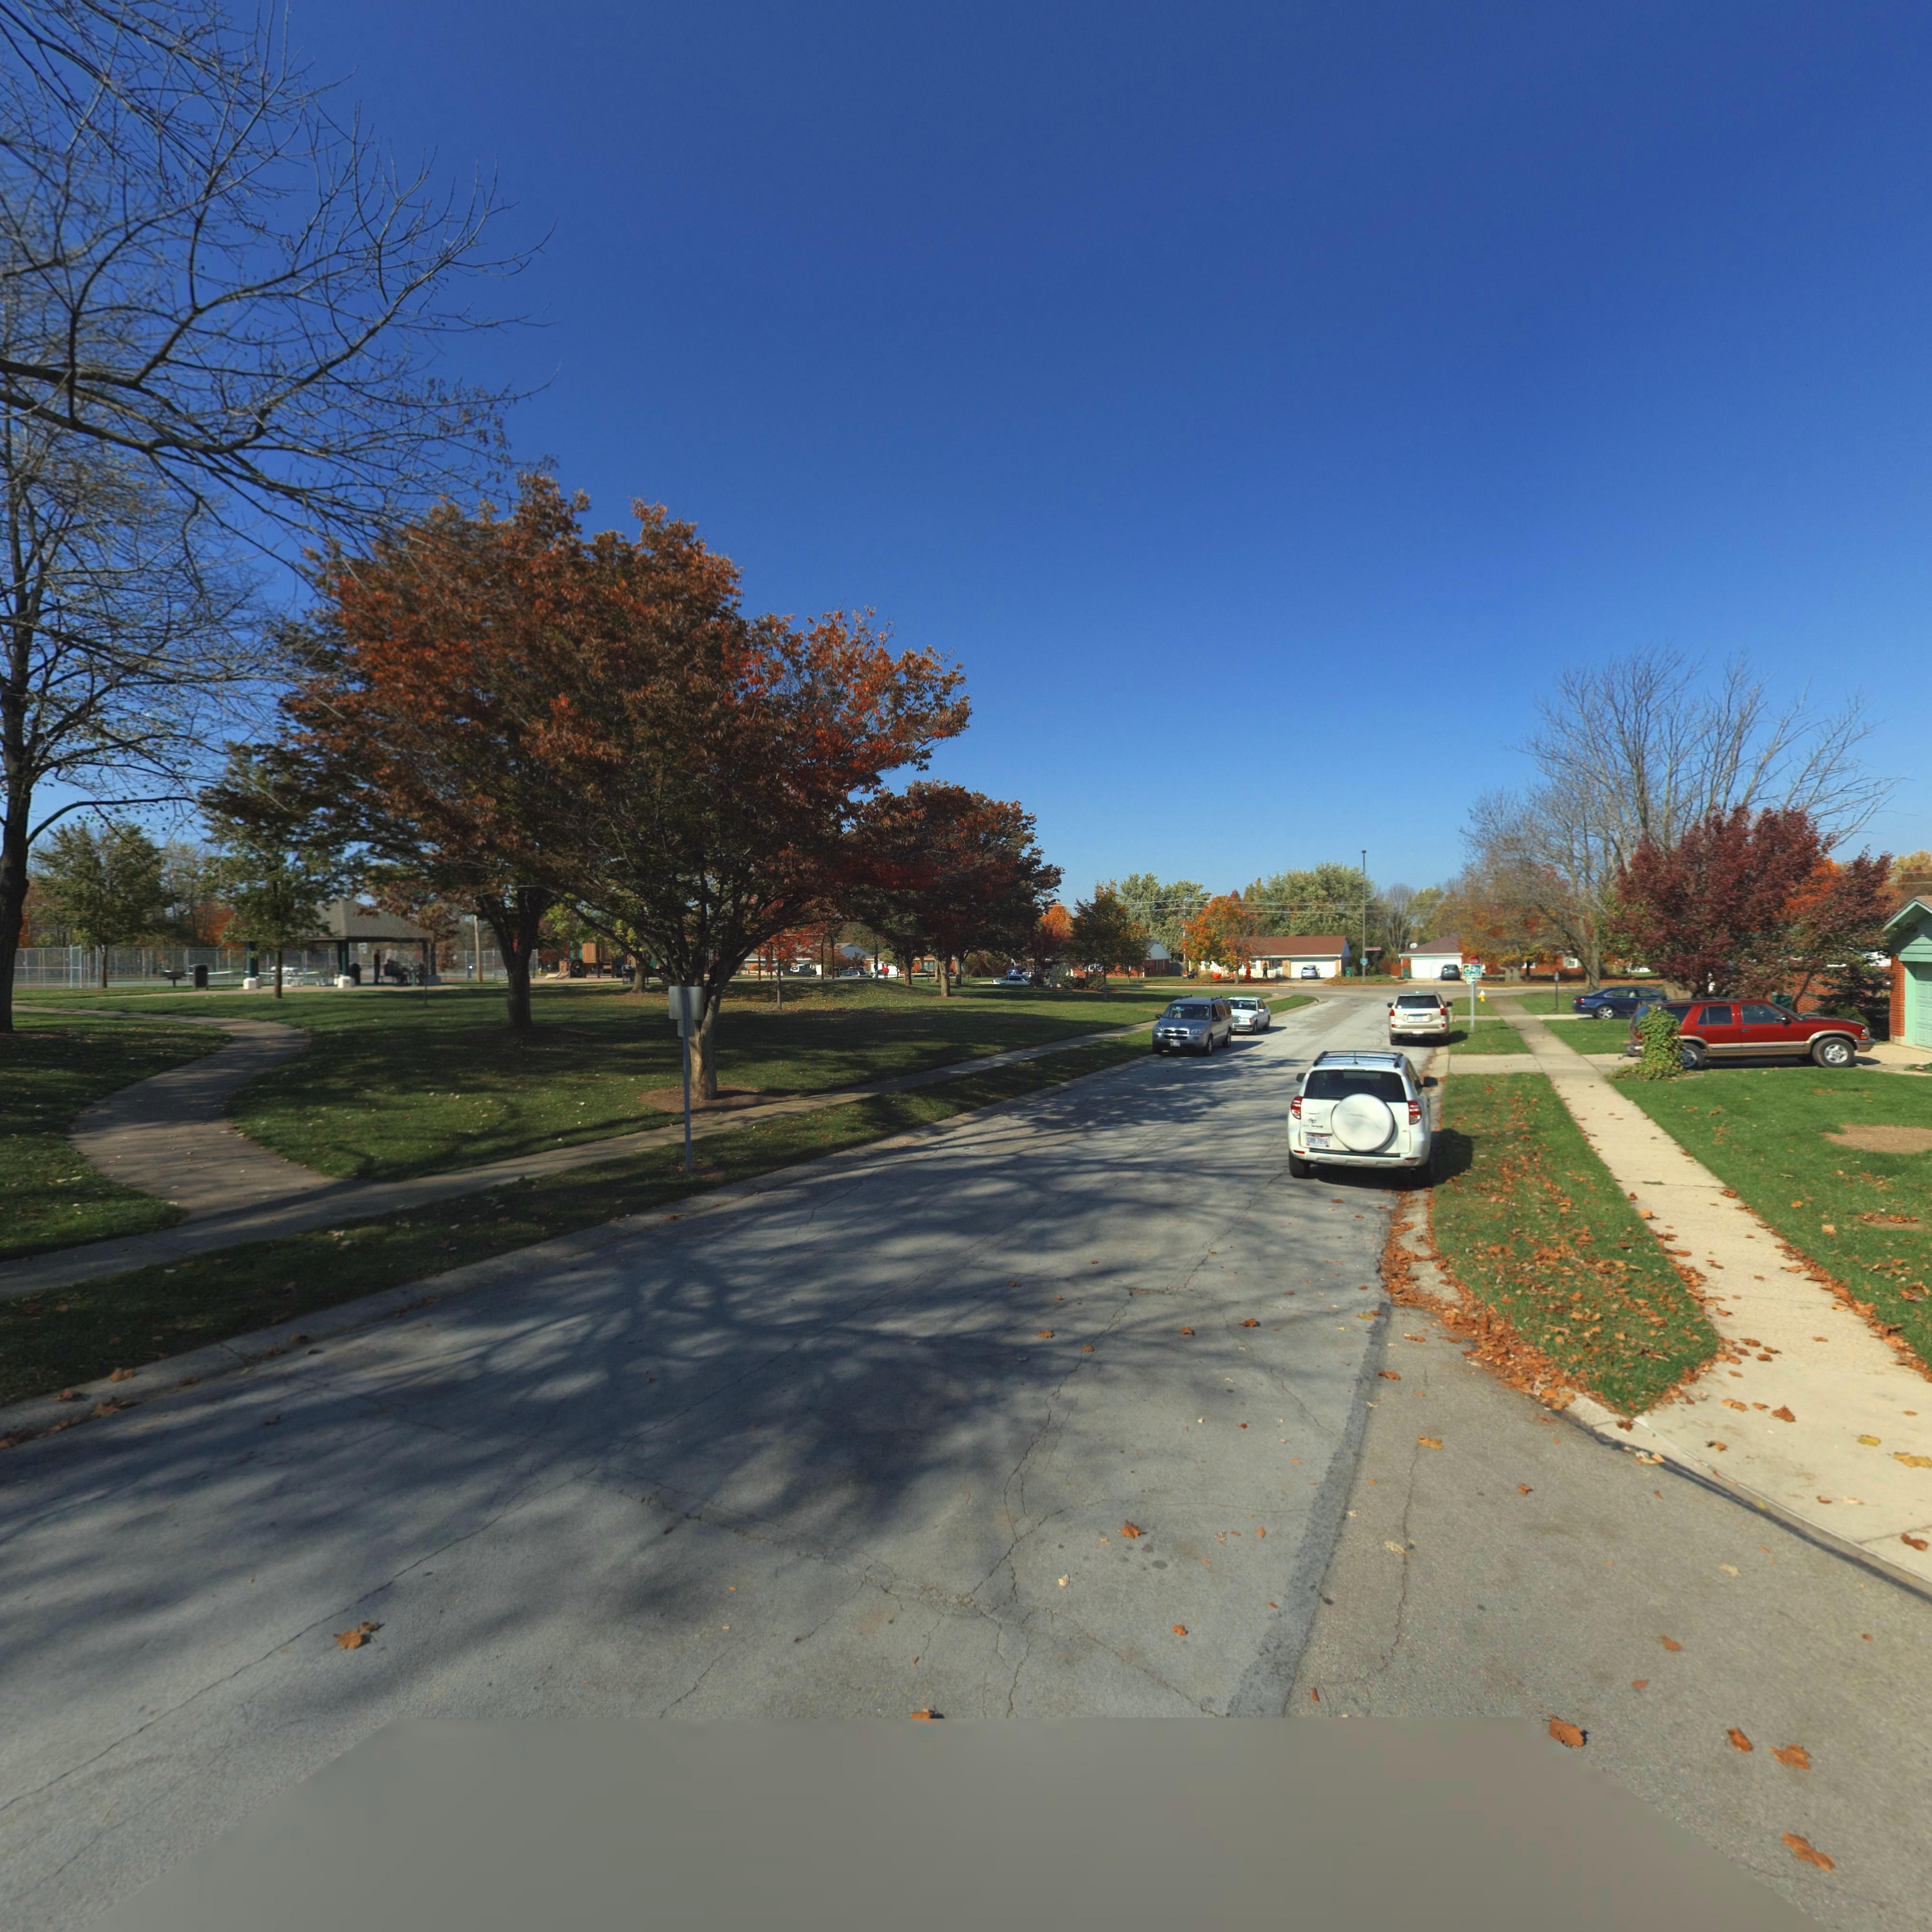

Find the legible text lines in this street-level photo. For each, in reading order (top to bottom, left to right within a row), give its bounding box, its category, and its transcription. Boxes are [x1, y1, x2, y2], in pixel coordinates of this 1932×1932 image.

[1316, 1137, 1329, 1146] None: 7856